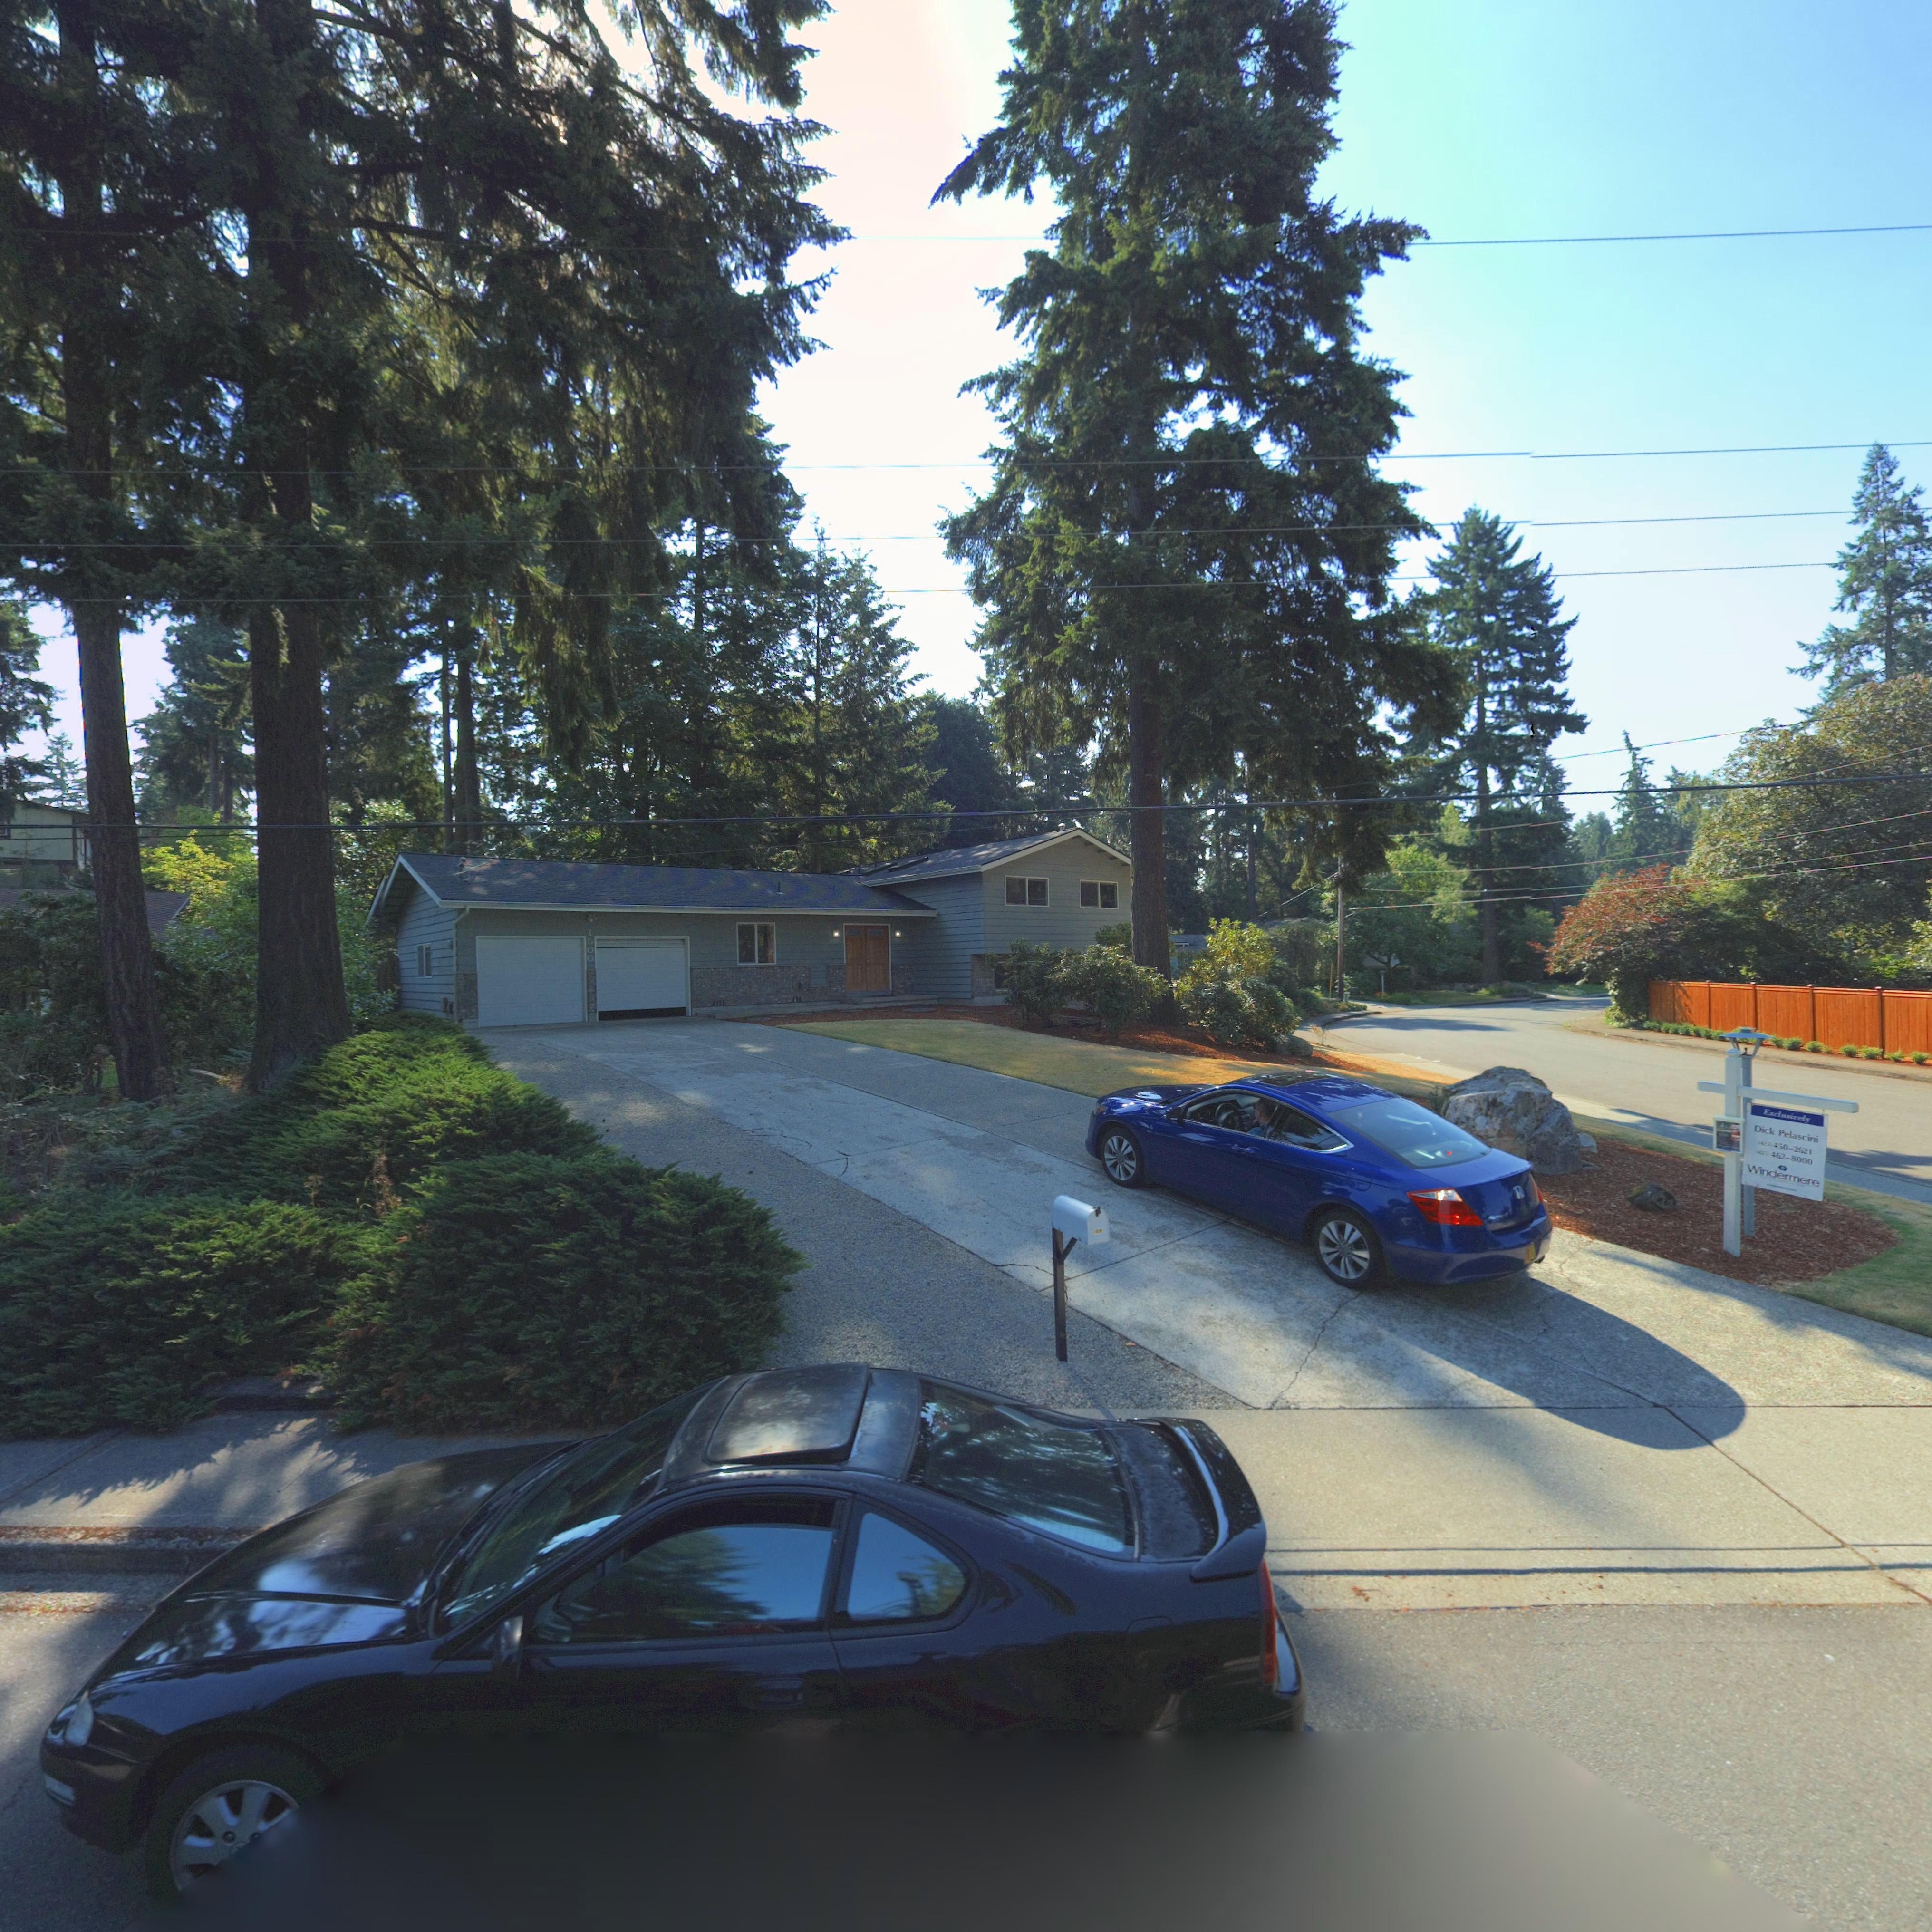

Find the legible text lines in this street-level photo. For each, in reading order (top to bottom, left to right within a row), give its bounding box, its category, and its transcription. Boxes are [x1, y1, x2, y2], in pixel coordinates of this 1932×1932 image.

[586, 928, 594, 963] StreetNumber: 1500